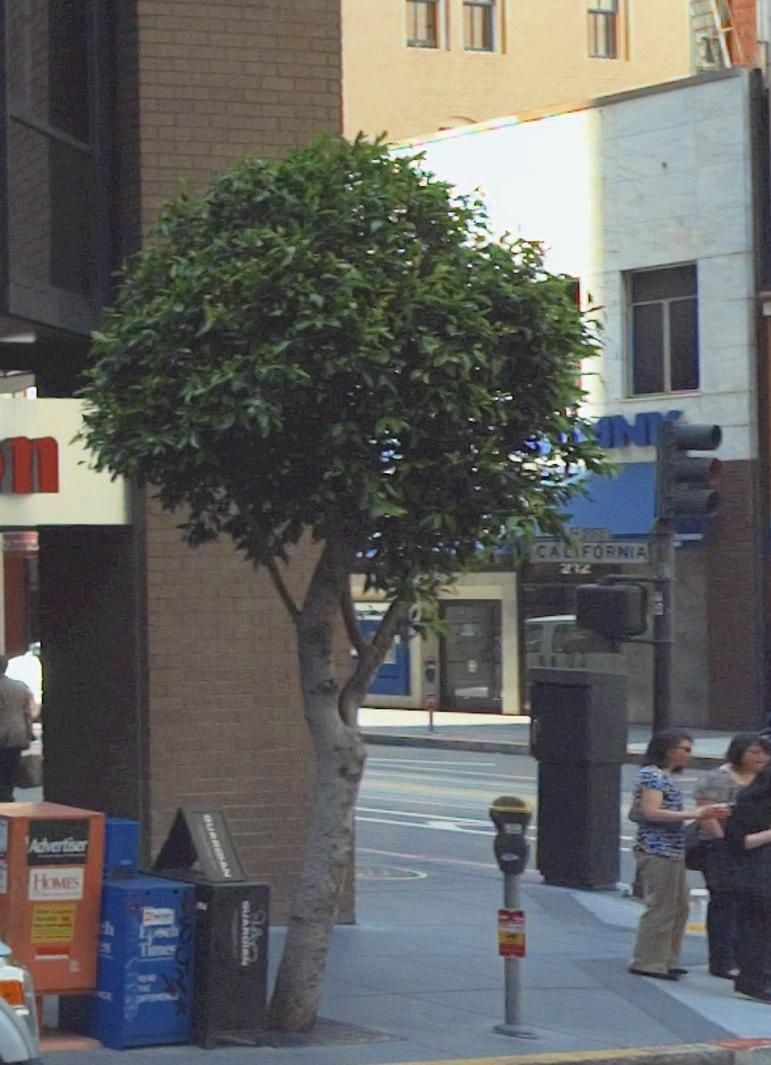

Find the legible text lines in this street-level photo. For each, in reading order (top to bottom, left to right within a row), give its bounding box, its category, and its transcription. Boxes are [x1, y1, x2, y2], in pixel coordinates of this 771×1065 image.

[10, 434, 60, 493] None: n
[570, 527, 606, 539] StreetNumberRange: <-200
[536, 544, 648, 559] StreetName: CALIFORNIA
[25, 836, 89, 853] None: Advertiser
[32, 872, 80, 892] None: Homes